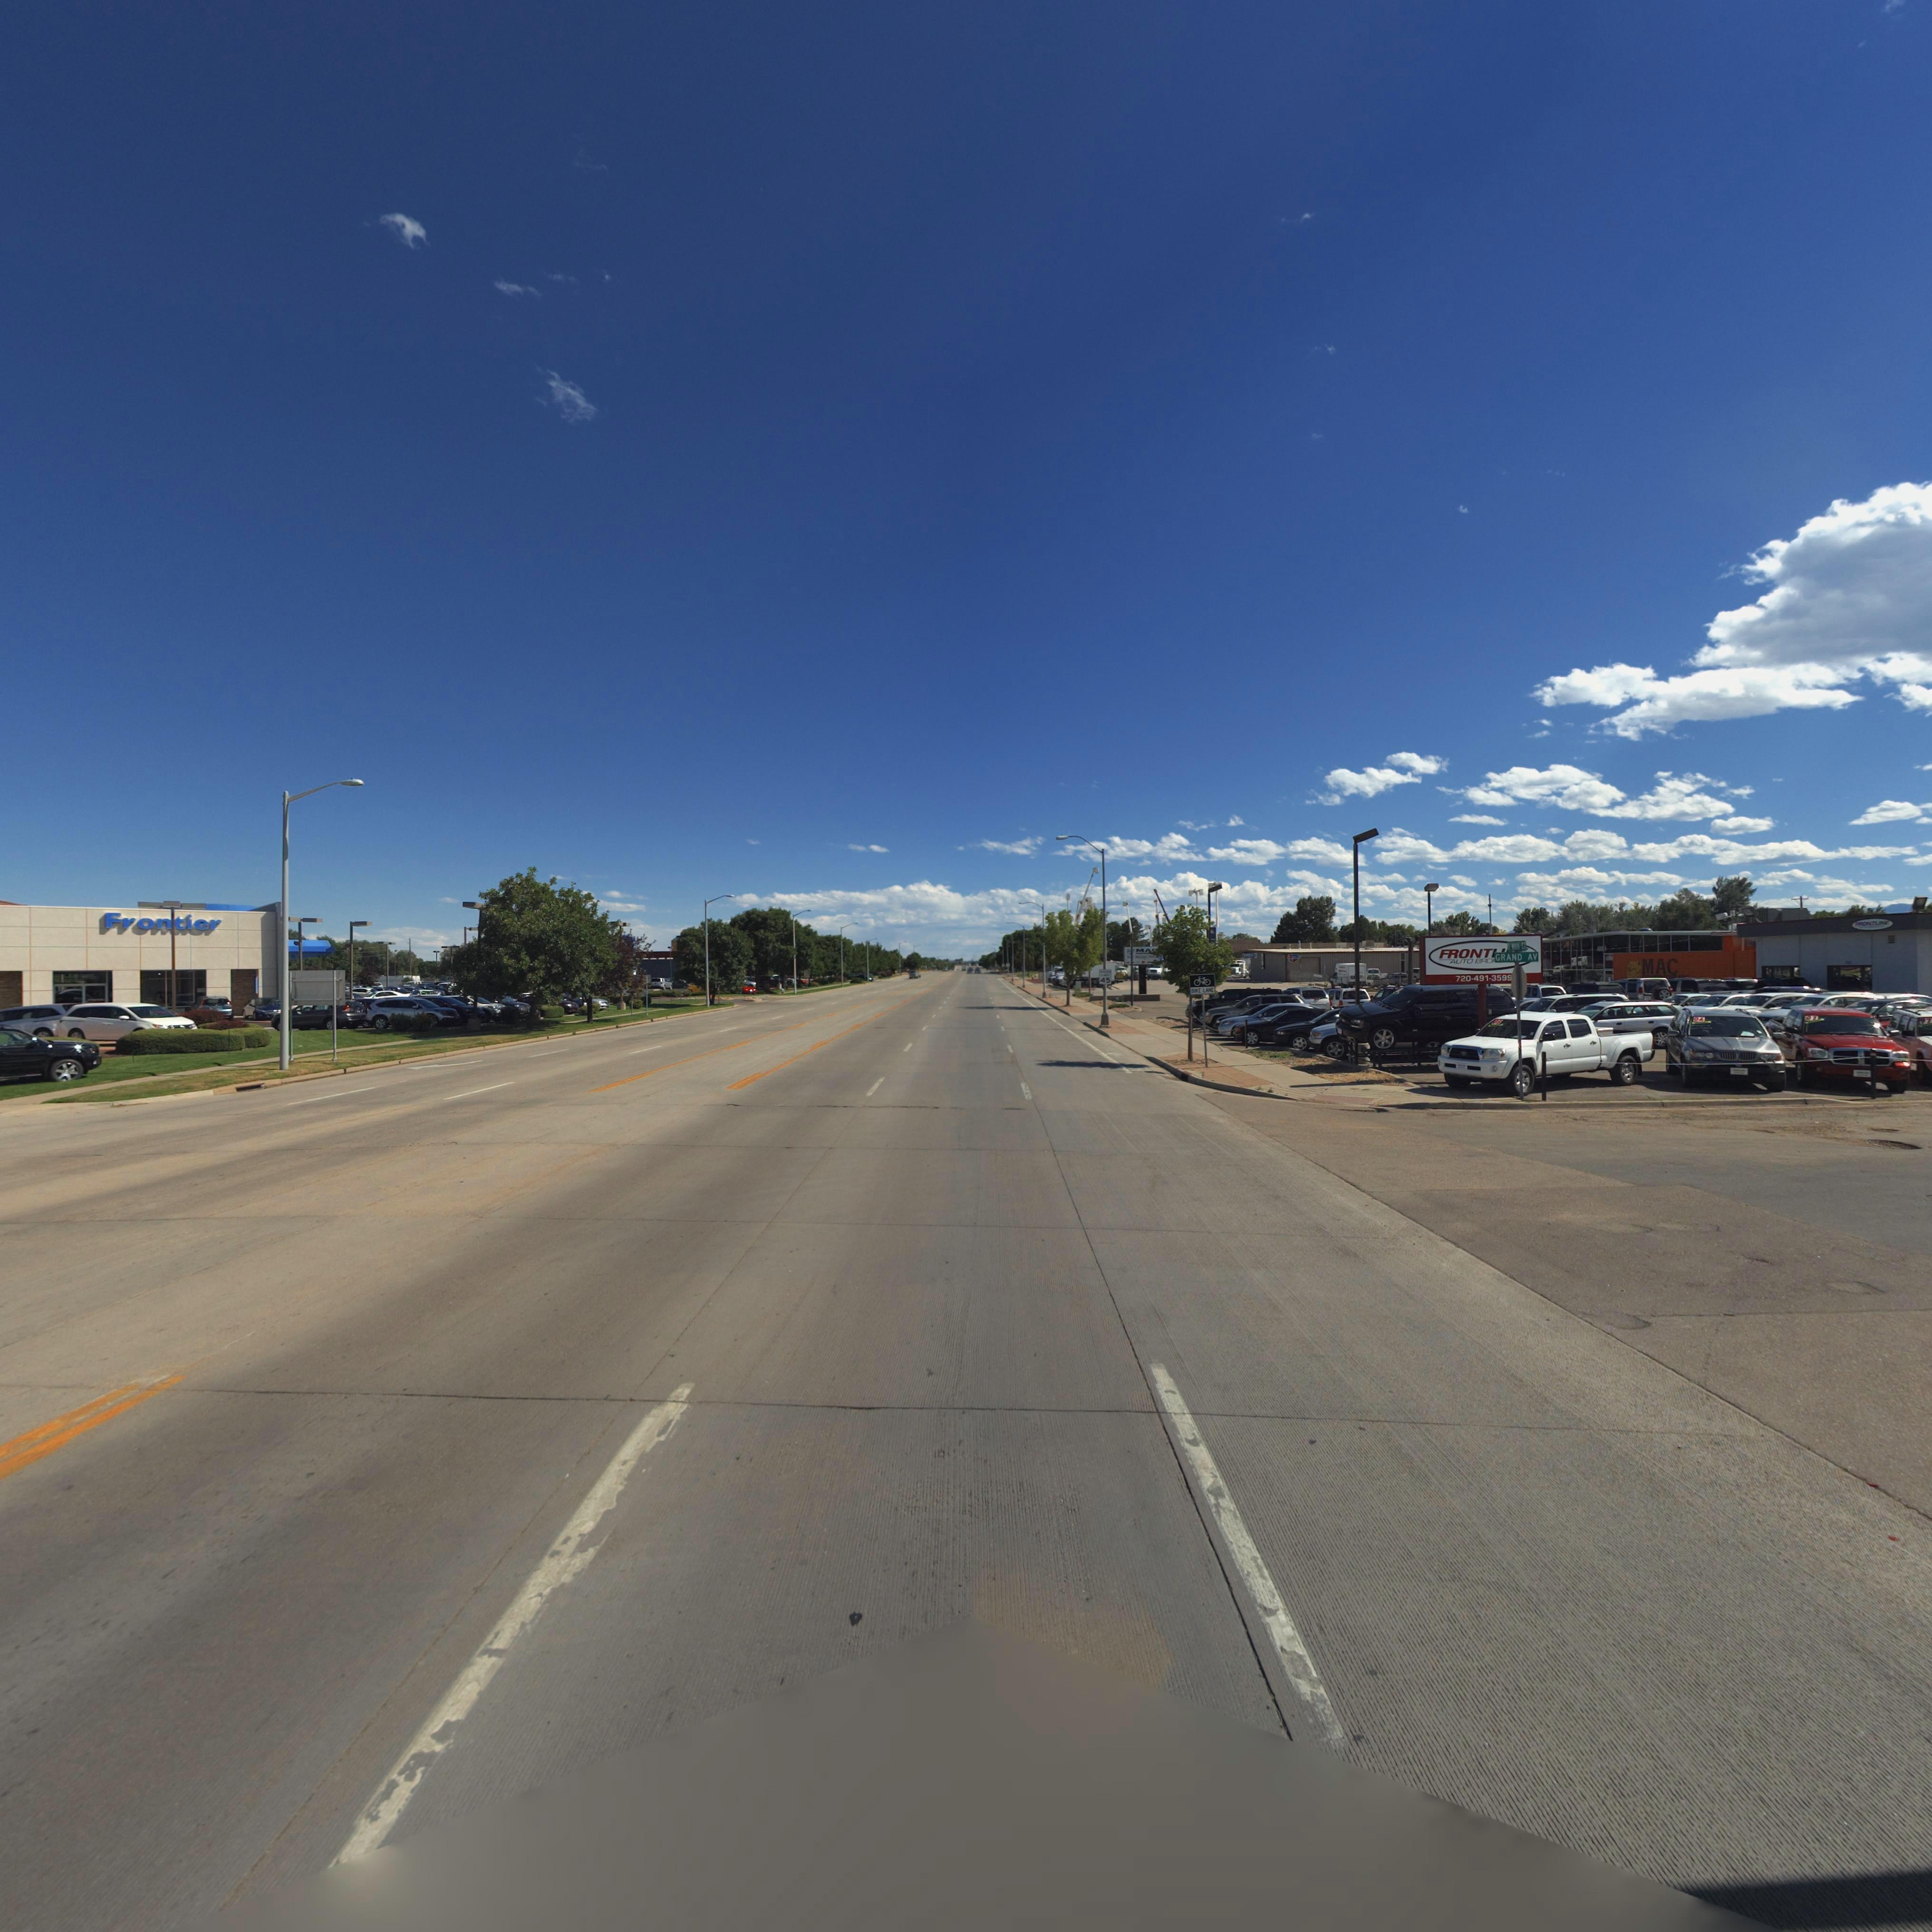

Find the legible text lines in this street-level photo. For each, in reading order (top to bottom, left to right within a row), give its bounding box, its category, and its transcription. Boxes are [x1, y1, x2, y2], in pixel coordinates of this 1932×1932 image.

[1855, 919, 1889, 927] BusinessName: **O*TL*N*
[1507, 942, 1526, 950] StreetName: S MAIN ST
[1136, 947, 1159, 953] BusinessName: MA*
[1438, 947, 1528, 959] BusinessName: FRONT****
[1287, 956, 1301, 958] BusinessName: C*****ST
[1449, 957, 1509, 964] BusinessName: AUTO BRO****
[1494, 953, 1538, 961] StreetName: GRAND AV
[1641, 958, 1679, 976] BusinessName: MAC
[1543, 971, 1549, 976] StreetNumber: **5